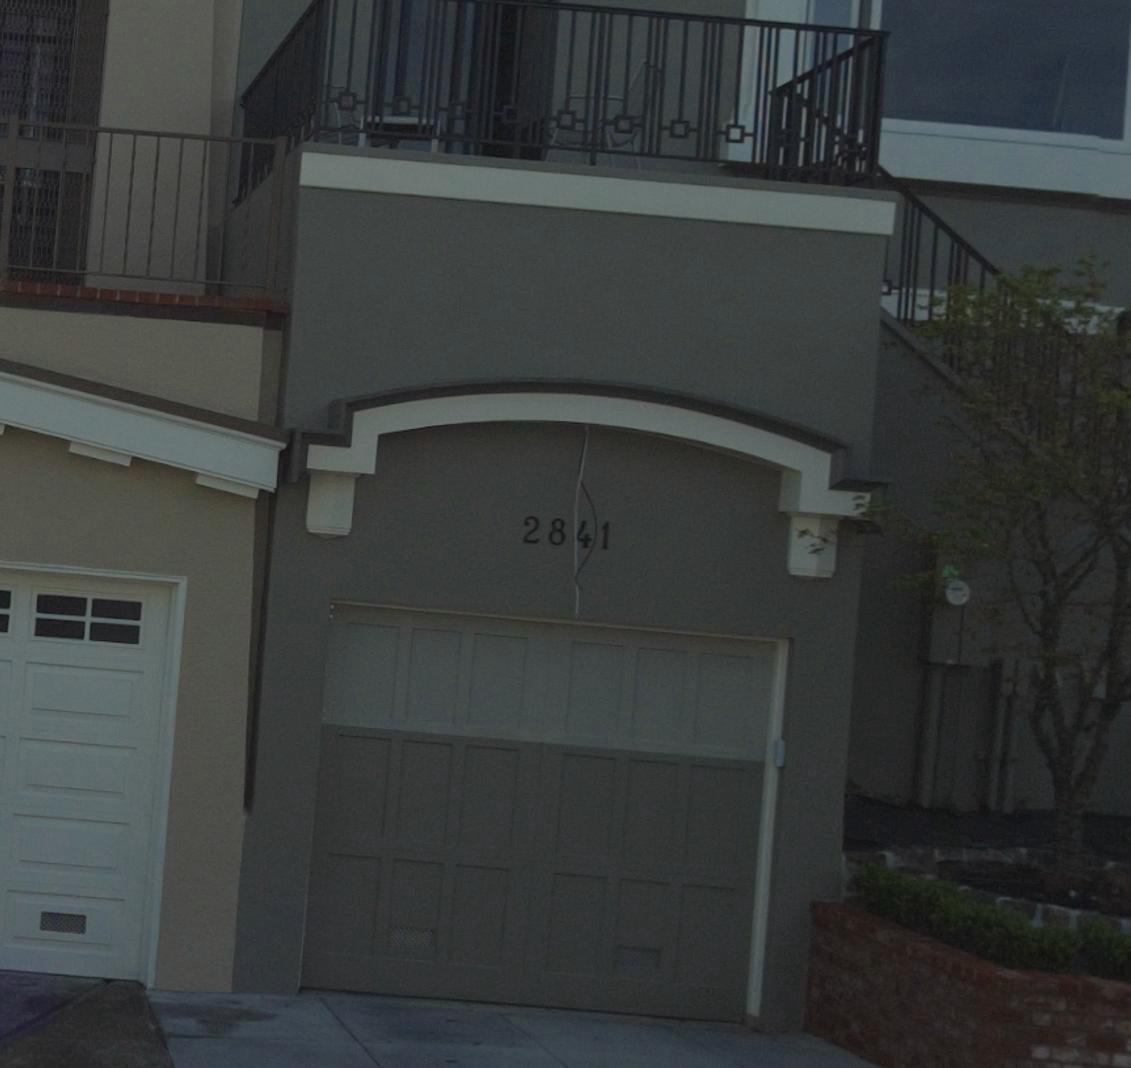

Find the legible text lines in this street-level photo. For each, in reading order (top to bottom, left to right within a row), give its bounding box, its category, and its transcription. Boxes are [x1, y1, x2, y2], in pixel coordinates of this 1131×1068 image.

[520, 513, 613, 553] StreetNumber: 2841